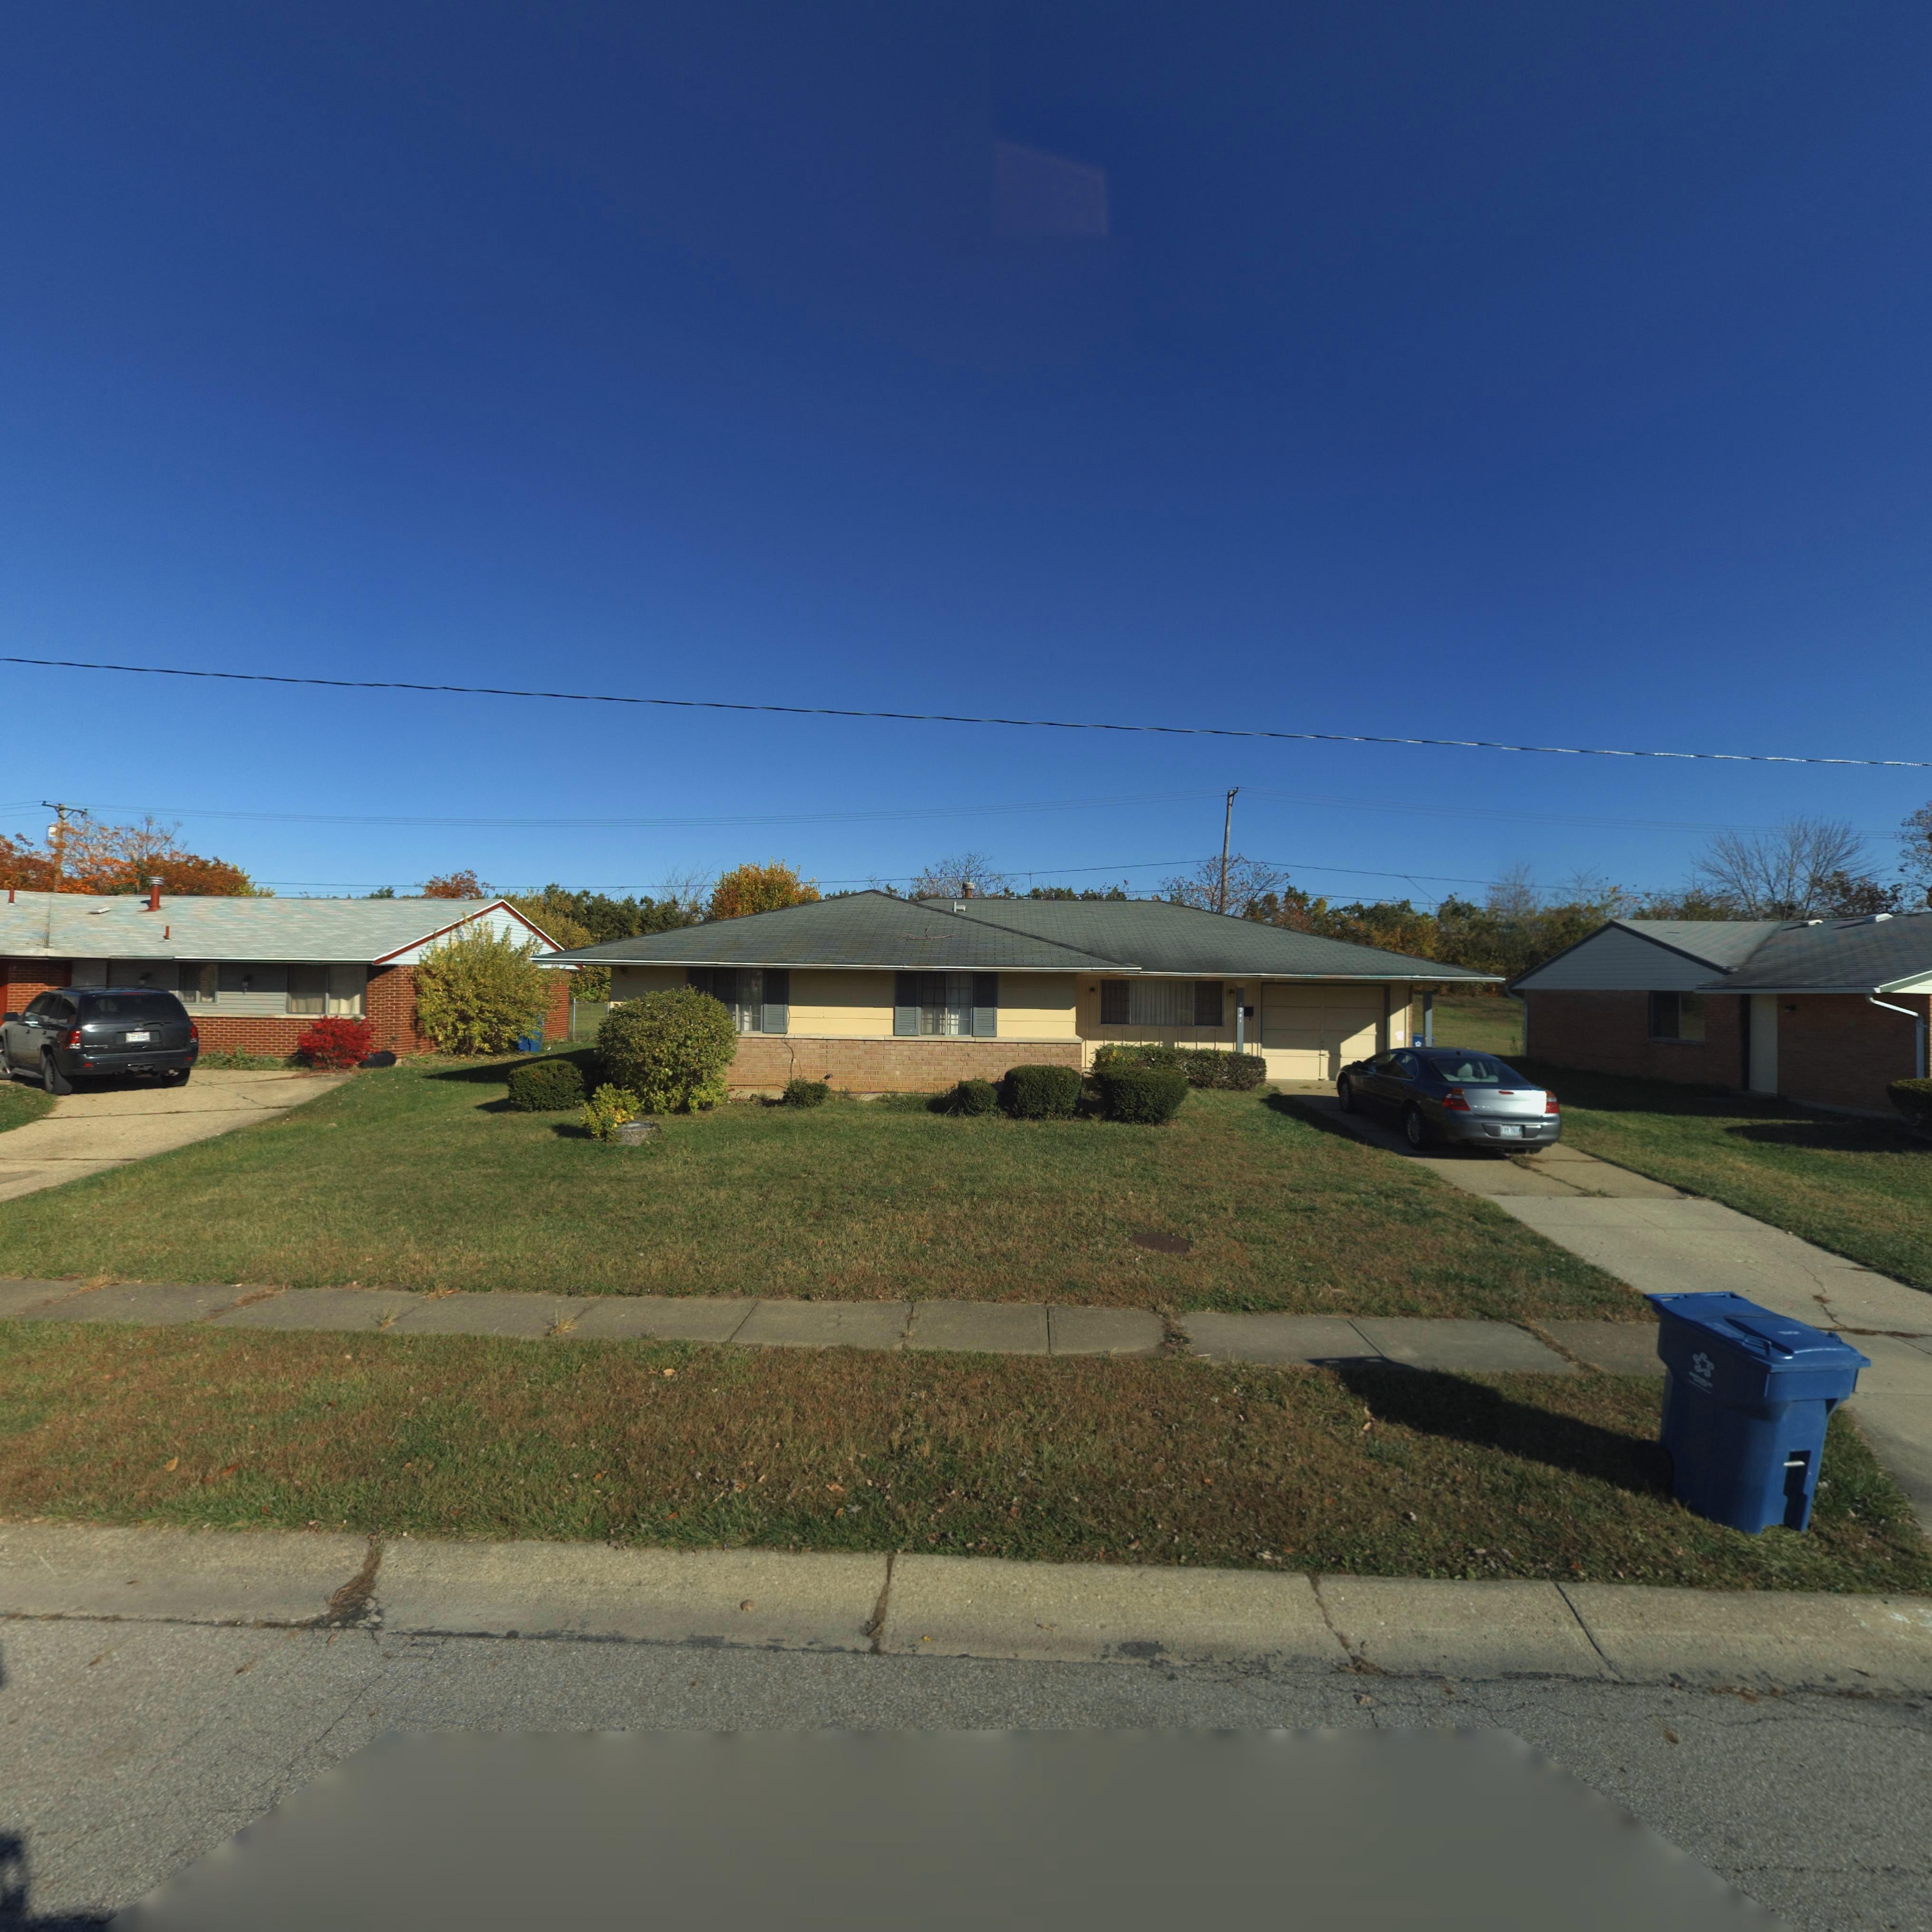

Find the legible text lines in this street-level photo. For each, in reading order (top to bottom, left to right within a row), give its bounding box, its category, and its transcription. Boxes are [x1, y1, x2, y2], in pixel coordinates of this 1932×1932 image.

[1238, 1002, 1243, 1023] StreetNumber: 7941